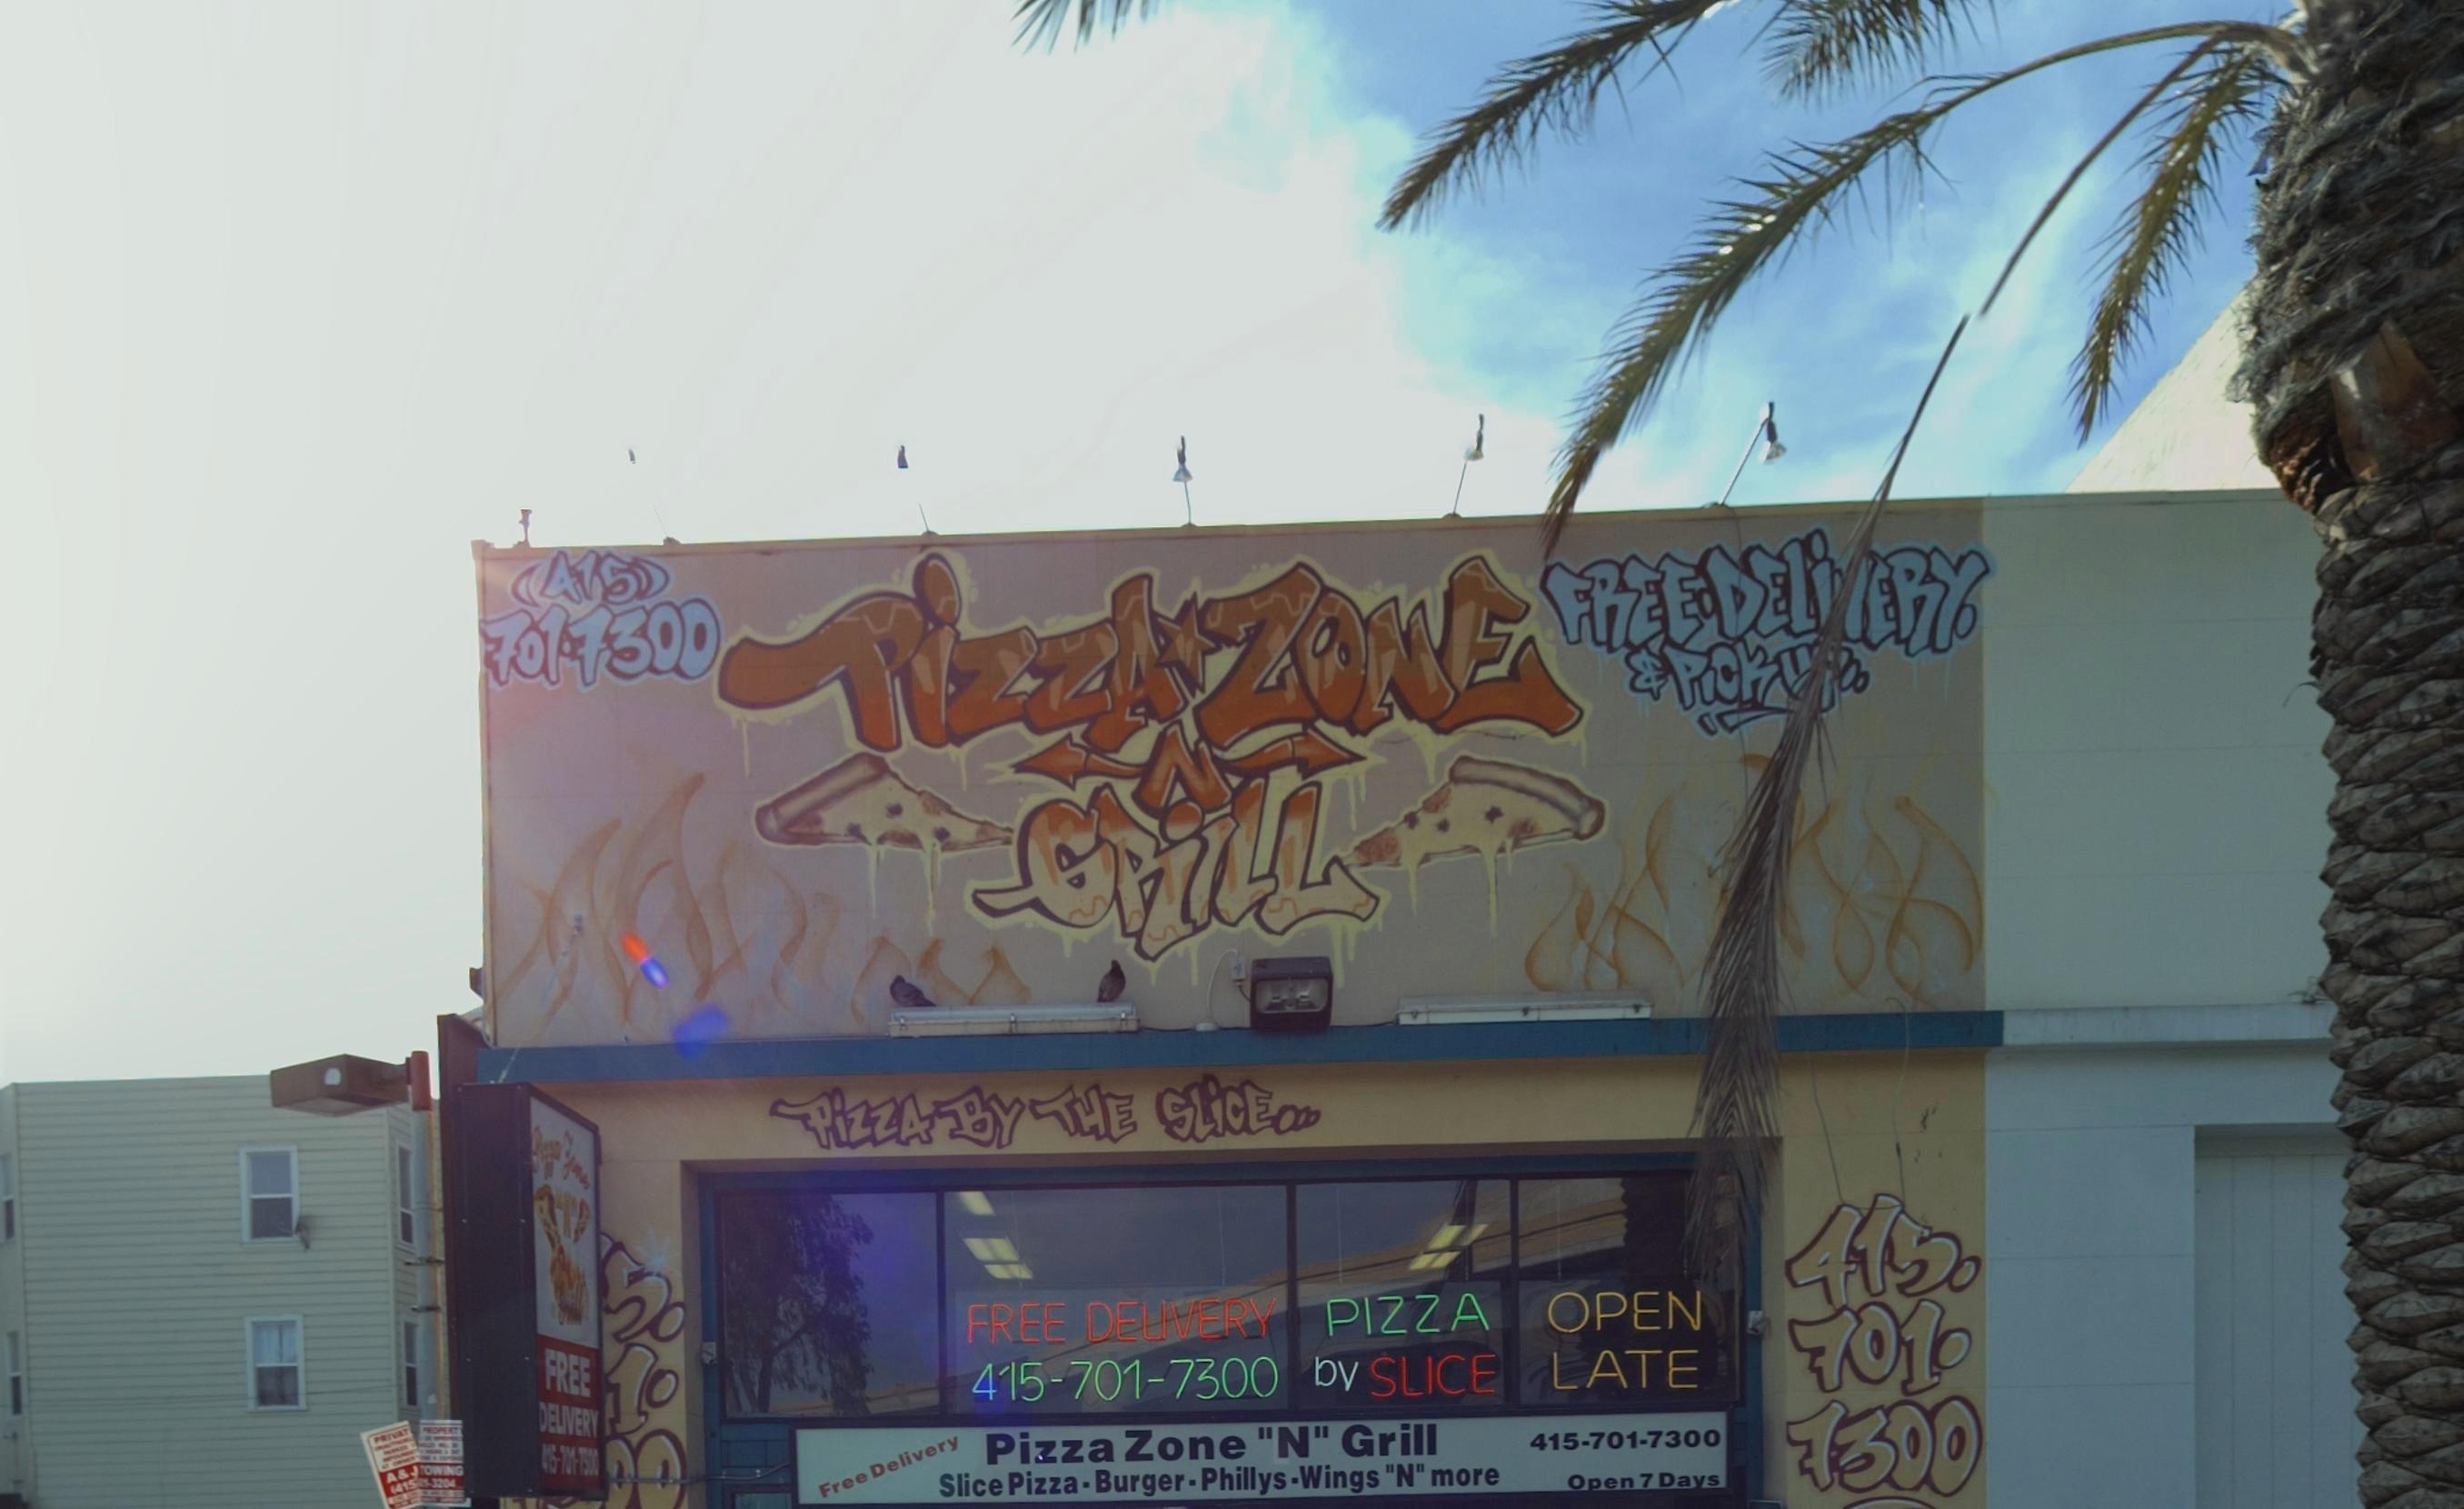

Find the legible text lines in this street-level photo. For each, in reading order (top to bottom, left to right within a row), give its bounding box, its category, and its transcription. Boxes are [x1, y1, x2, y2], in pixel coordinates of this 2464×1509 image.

[534, 542, 647, 610] None: 415
[1531, 520, 1999, 664] None: FREE*DELi*ERY
[477, 590, 726, 695] None: 701*7300
[713, 544, 1598, 759] BusinessName: PizzA*ZonE
[1643, 633, 1784, 715] None: PiCK
[1134, 710, 1240, 818] BusinessName: N
[963, 772, 1392, 969] BusinessName: GRiLL
[763, 1069, 1325, 1156] None: PizzA BY THE SLiCE...
[1773, 1187, 1966, 1316] None: 415
[370, 1424, 414, 1448] None: PRIVAT
[384, 1469, 403, 1487] None: A
[393, 1475, 423, 1495] None: 415
[429, 1474, 458, 1491] None: 3204
[423, 1463, 466, 1478] None: OWING
[542, 1343, 594, 1402] None: FREE
[536, 1397, 602, 1441] None: DELIVERY
[536, 1440, 603, 1480] None: 415-701-7300
[604, 1342, 659, 1437] None: 1
[599, 1234, 673, 1347] None: 5
[813, 1429, 961, 1502] None: Free Delivery
[962, 1294, 1284, 1348] None: FREE DELIVERY
[963, 1353, 1285, 1407] None: 415-701-7300
[983, 1419, 1442, 1470] BusinessName: Pizza Zone "N" Grill
[934, 1458, 1502, 1502] None: Slice Pizza - Burger - Phillys - Wings "N" more
[1311, 1349, 1500, 1402] None: by SLICE
[1319, 1284, 1498, 1344] None: PIZZA
[1541, 1284, 1708, 1337] None: OPEN
[1526, 1426, 1724, 1454] None: 415-701-7300
[1549, 1344, 1703, 1394] None: LATE
[1563, 1468, 1724, 1494] None: Open 7 Days
[1781, 1297, 1959, 1404] None: 701
[1781, 1394, 1988, 1502] None: 7300